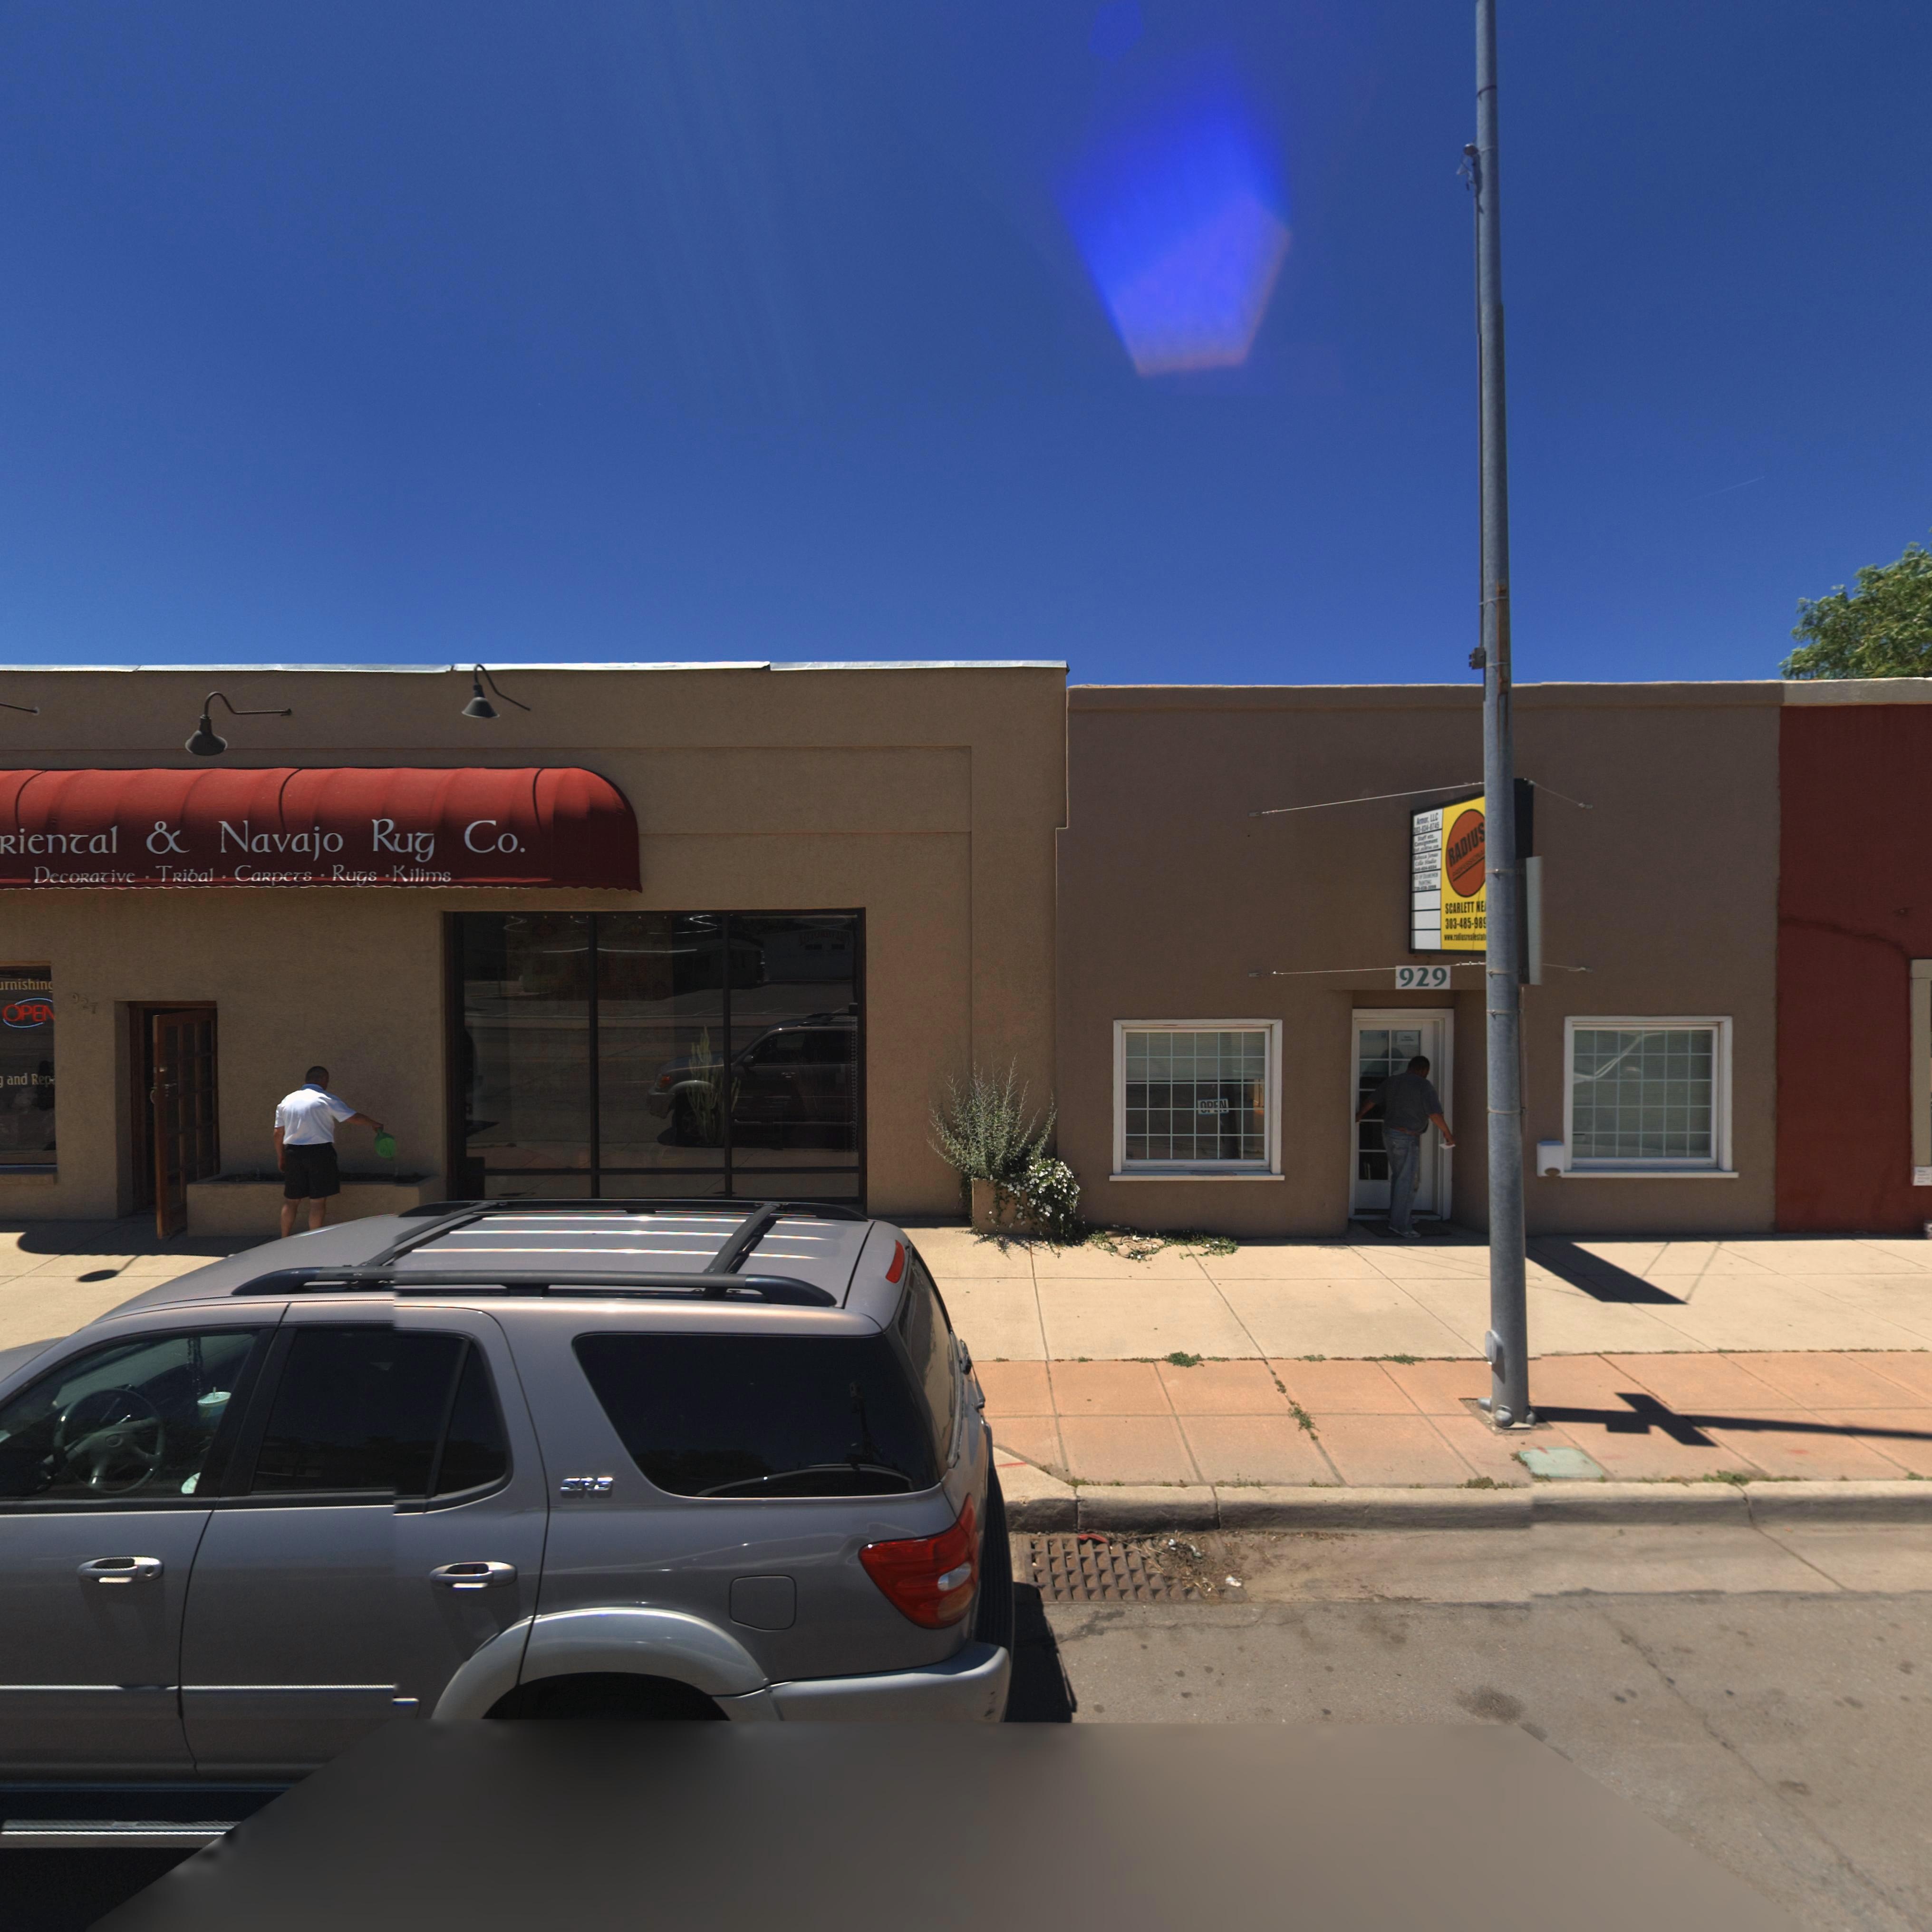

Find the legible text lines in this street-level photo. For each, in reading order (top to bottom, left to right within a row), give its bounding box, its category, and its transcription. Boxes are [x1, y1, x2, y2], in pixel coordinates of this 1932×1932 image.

[1416, 812, 1439, 825] BusinessName: Armour LLC
[0, 815, 528, 863] BusinessName: ORienTal & Navajo Rug Co.
[1447, 821, 1486, 867] BusinessName: RADIU*
[1399, 966, 1448, 988] StreetNumber: 929
[70, 992, 98, 1015] StreetNumber: 927